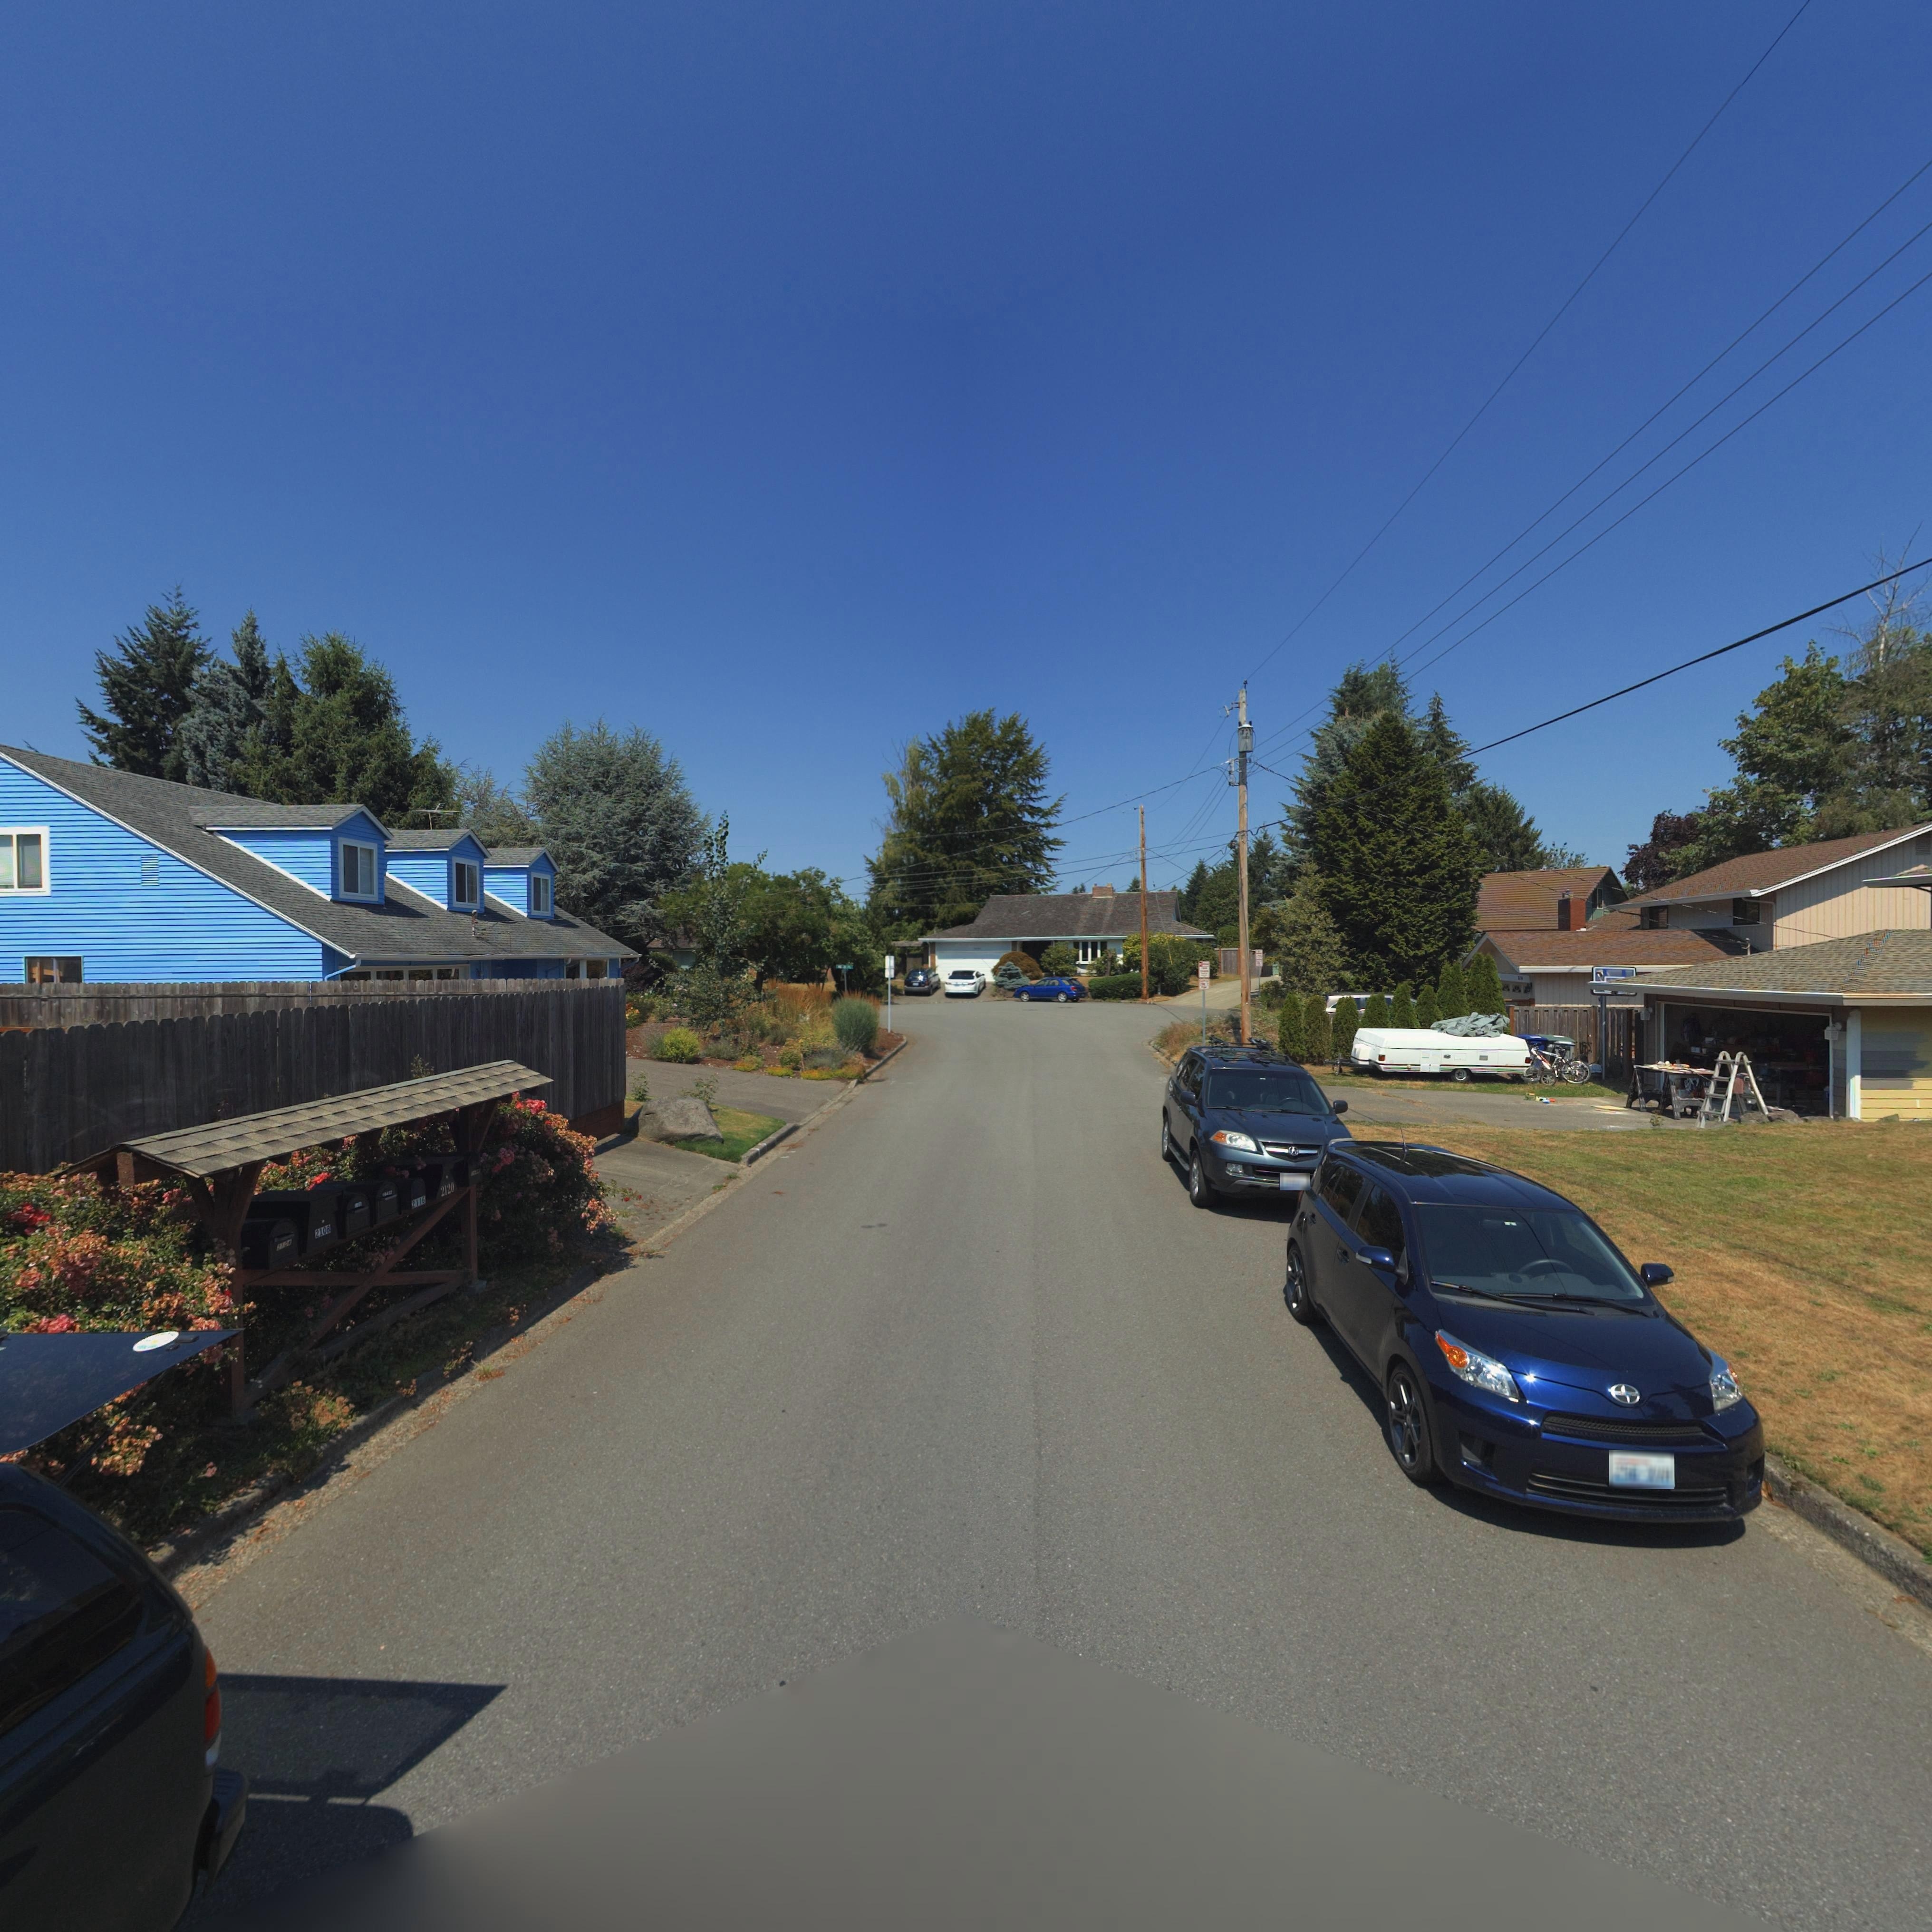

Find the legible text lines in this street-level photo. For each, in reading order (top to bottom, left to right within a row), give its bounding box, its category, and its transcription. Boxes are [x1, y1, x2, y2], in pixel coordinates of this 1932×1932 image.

[440, 1180, 455, 1197] StreetNumber: 2021
[412, 1195, 425, 1209] StreetNumber: 2116
[315, 1223, 331, 1238] StreetNumber: 2108
[277, 1237, 292, 1250] StreetNumber: 21**